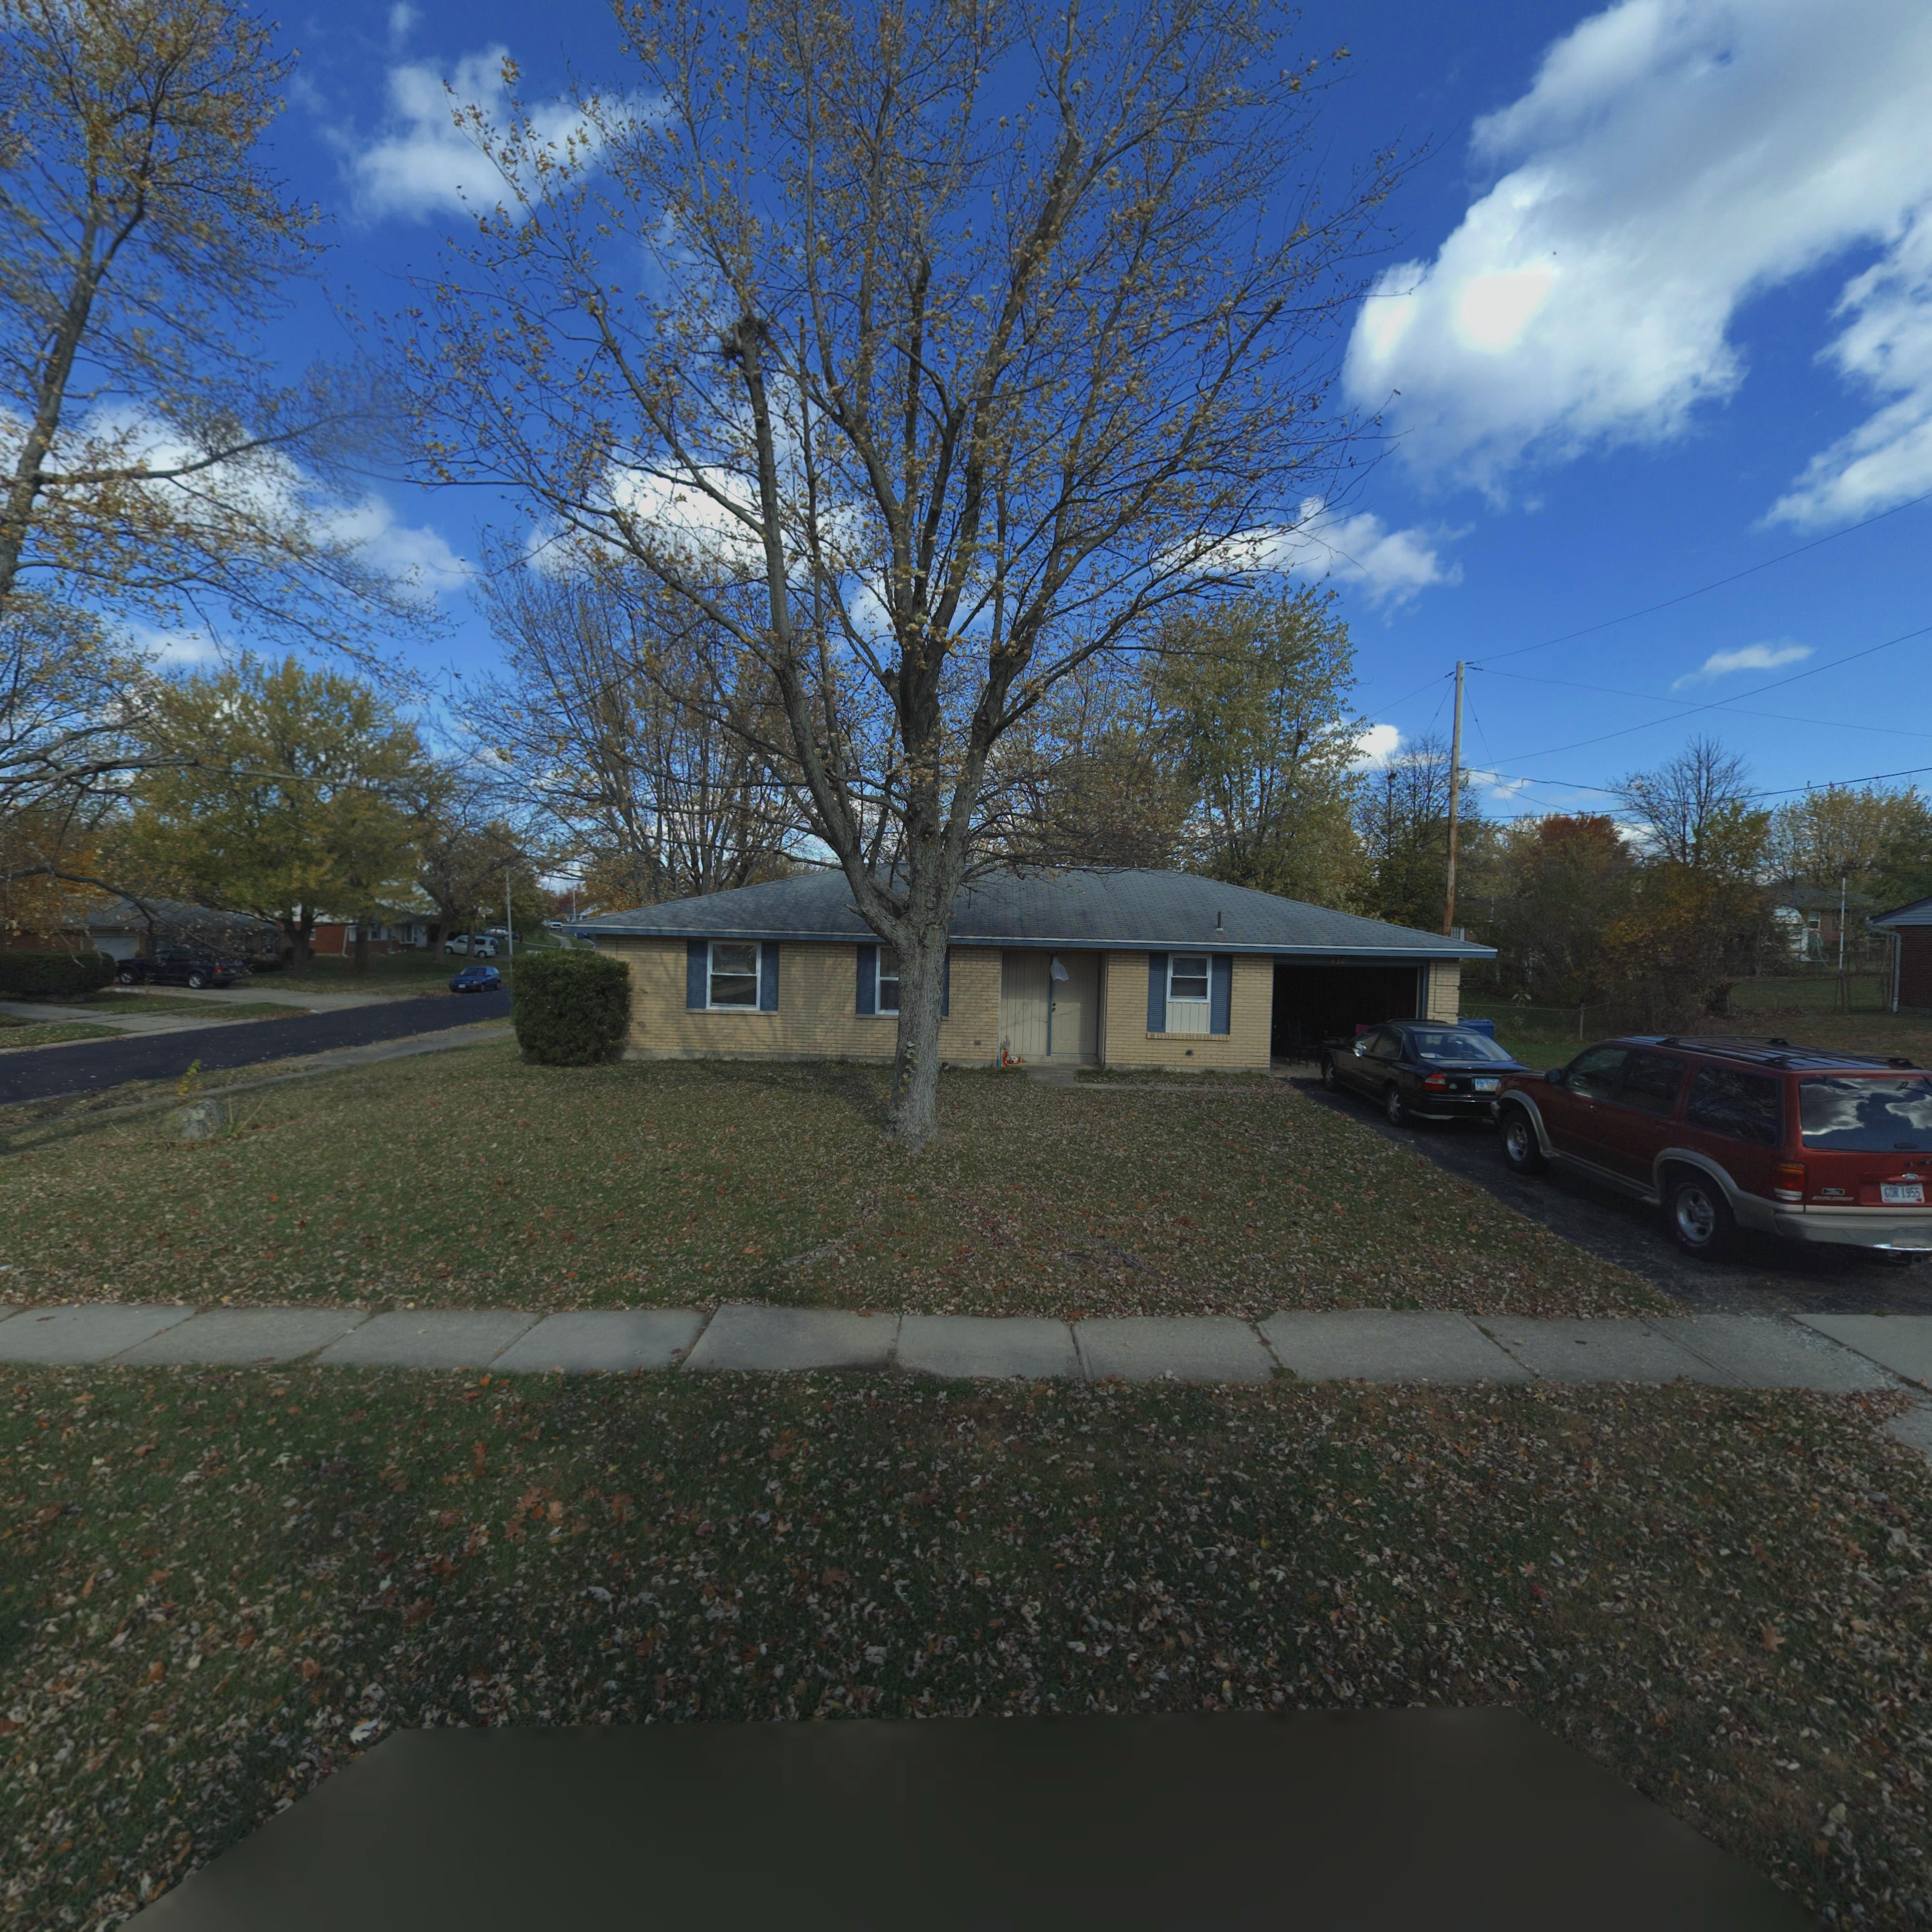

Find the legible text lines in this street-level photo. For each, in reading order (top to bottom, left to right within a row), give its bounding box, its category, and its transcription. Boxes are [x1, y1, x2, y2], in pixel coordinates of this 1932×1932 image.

[1330, 957, 1349, 965] StreetNumber: 630*